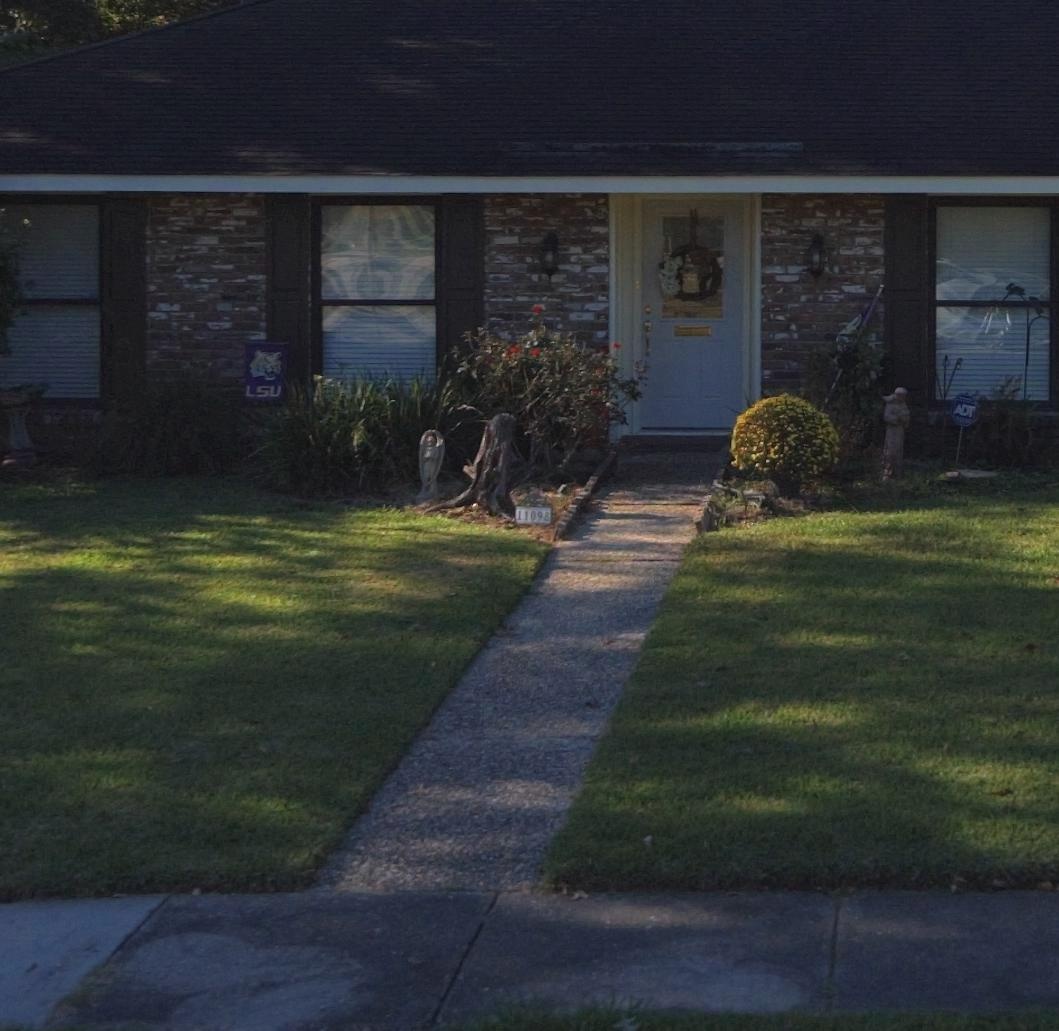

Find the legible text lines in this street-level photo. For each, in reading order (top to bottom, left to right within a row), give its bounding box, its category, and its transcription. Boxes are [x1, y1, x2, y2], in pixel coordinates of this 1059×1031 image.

[243, 382, 284, 399] None: LSU
[949, 401, 979, 421] None: ADT
[515, 508, 551, 523] StreetNumber: 11098